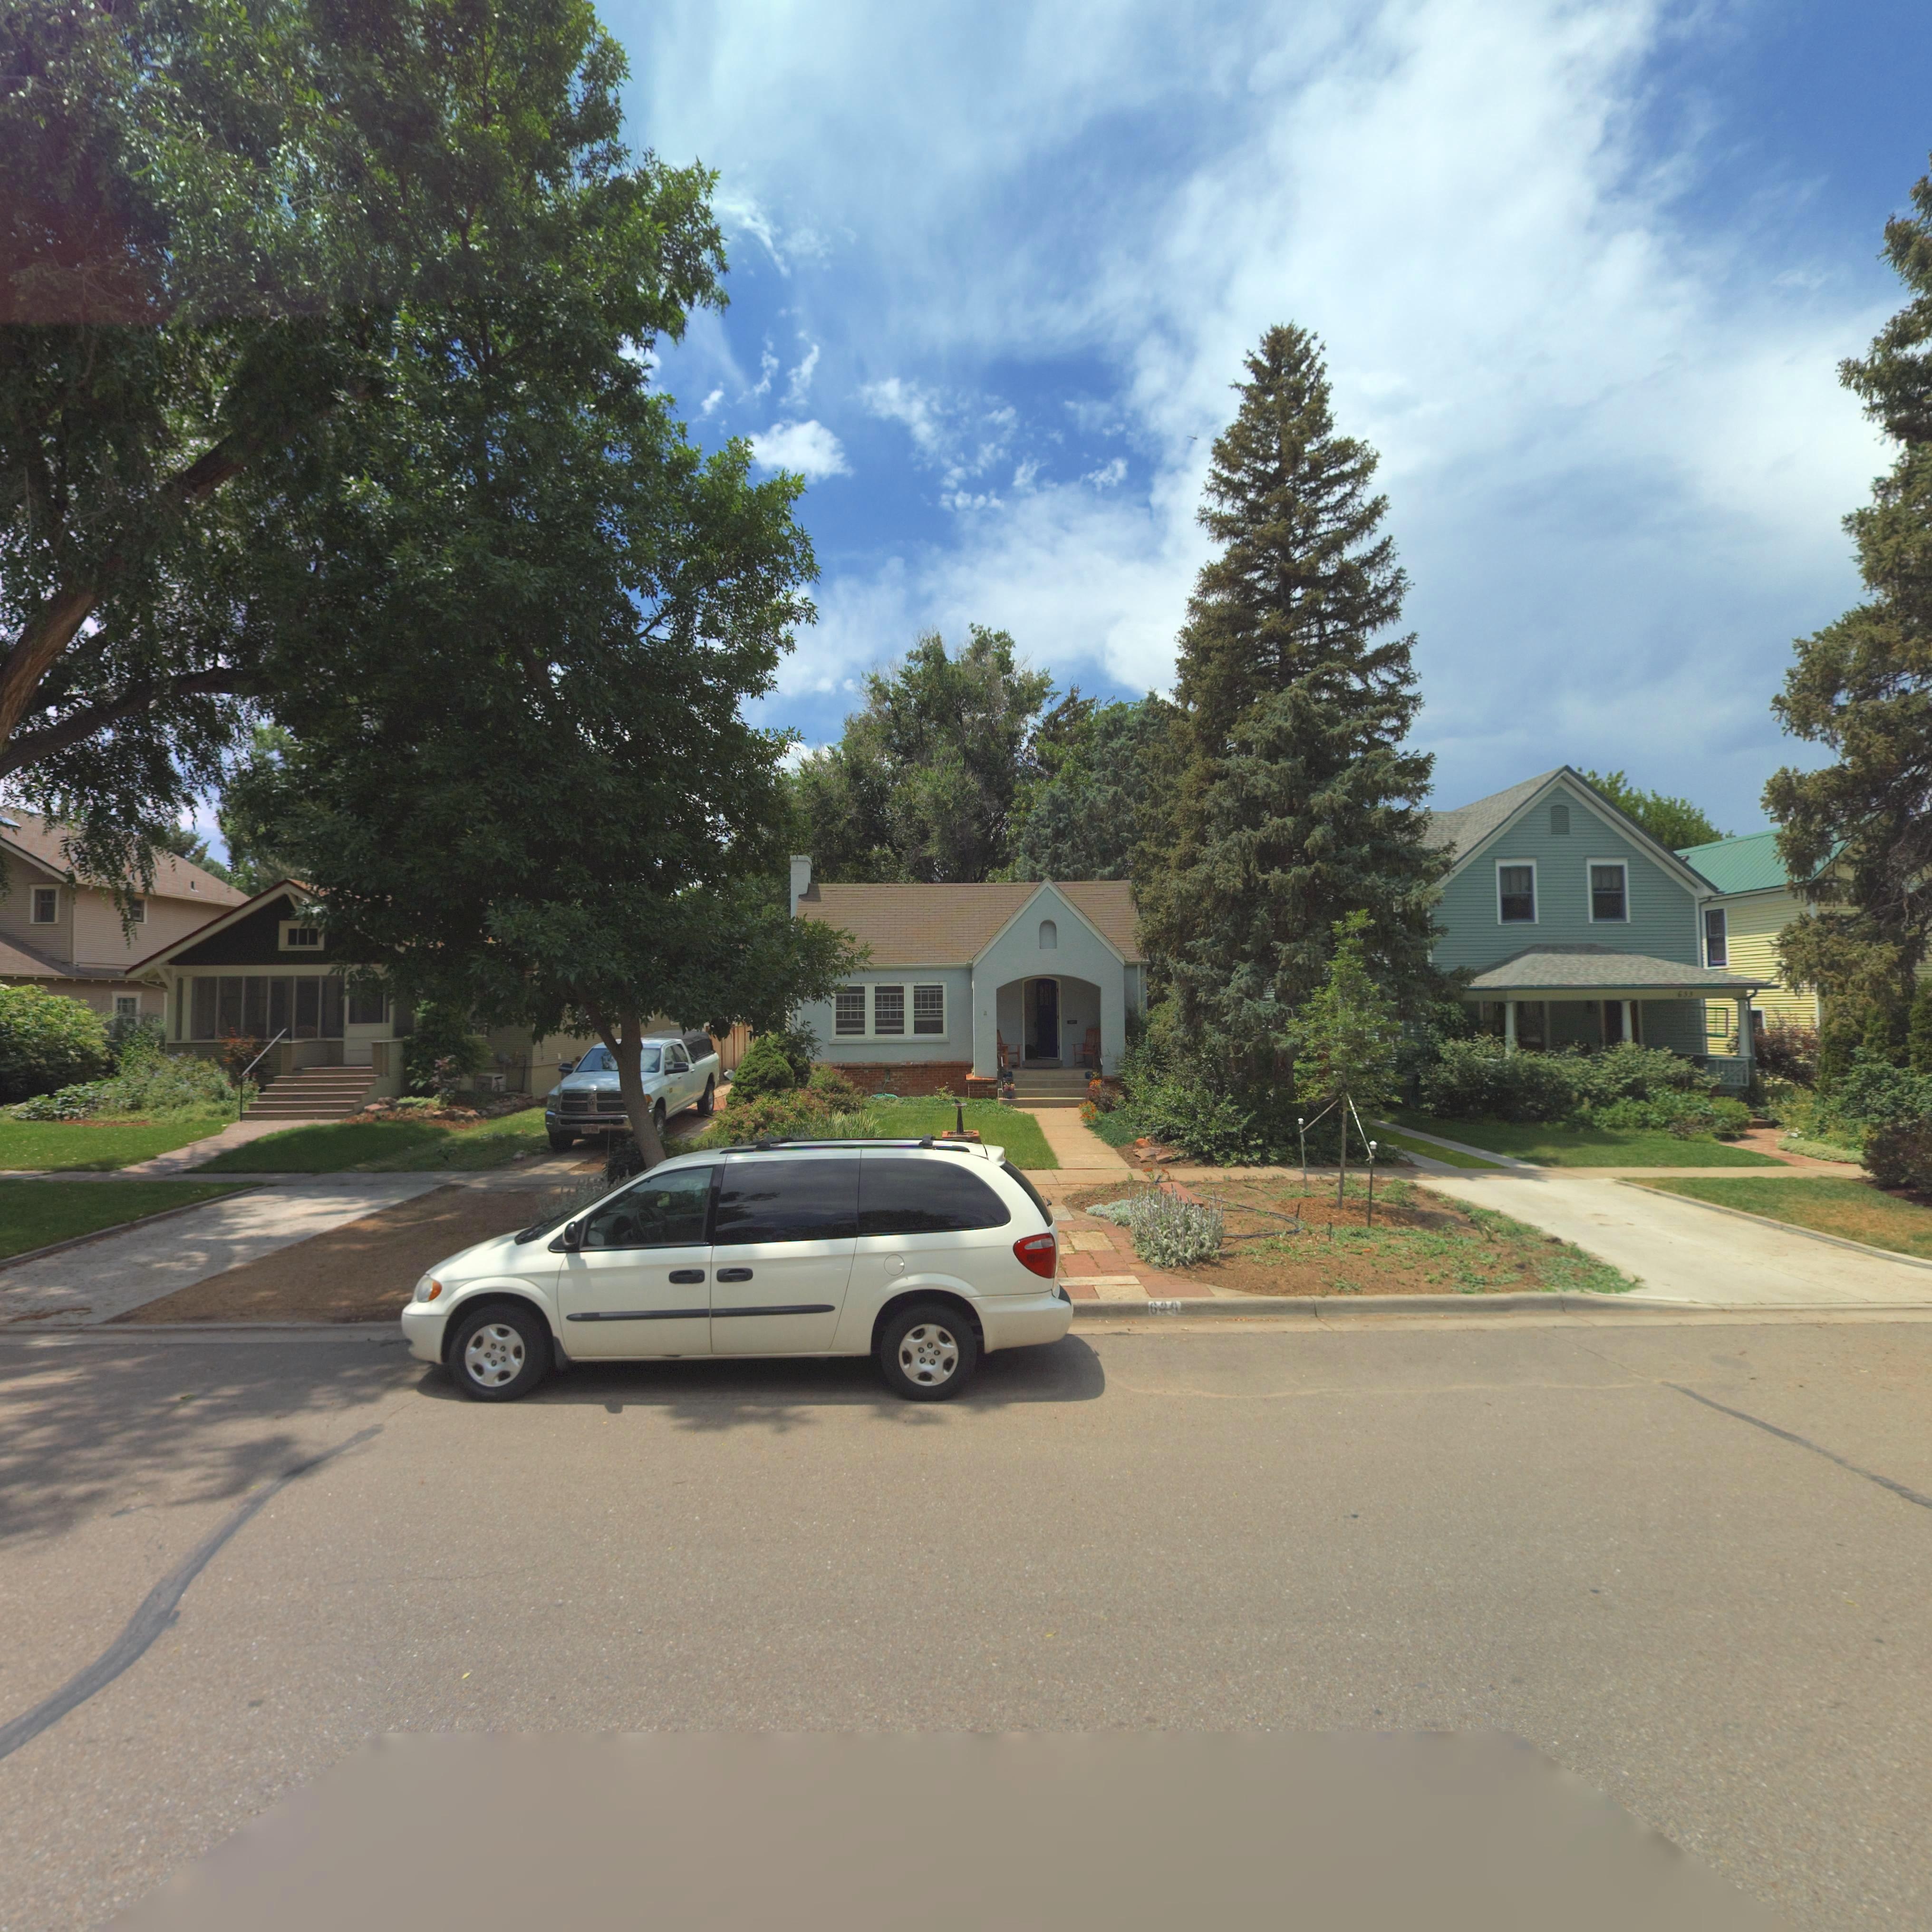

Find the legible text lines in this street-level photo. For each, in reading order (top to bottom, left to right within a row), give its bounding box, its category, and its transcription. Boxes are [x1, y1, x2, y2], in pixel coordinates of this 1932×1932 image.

[1676, 989, 1693, 998] StreetNumber: 633
[1150, 1301, 1179, 1315] StreetNumber: 628